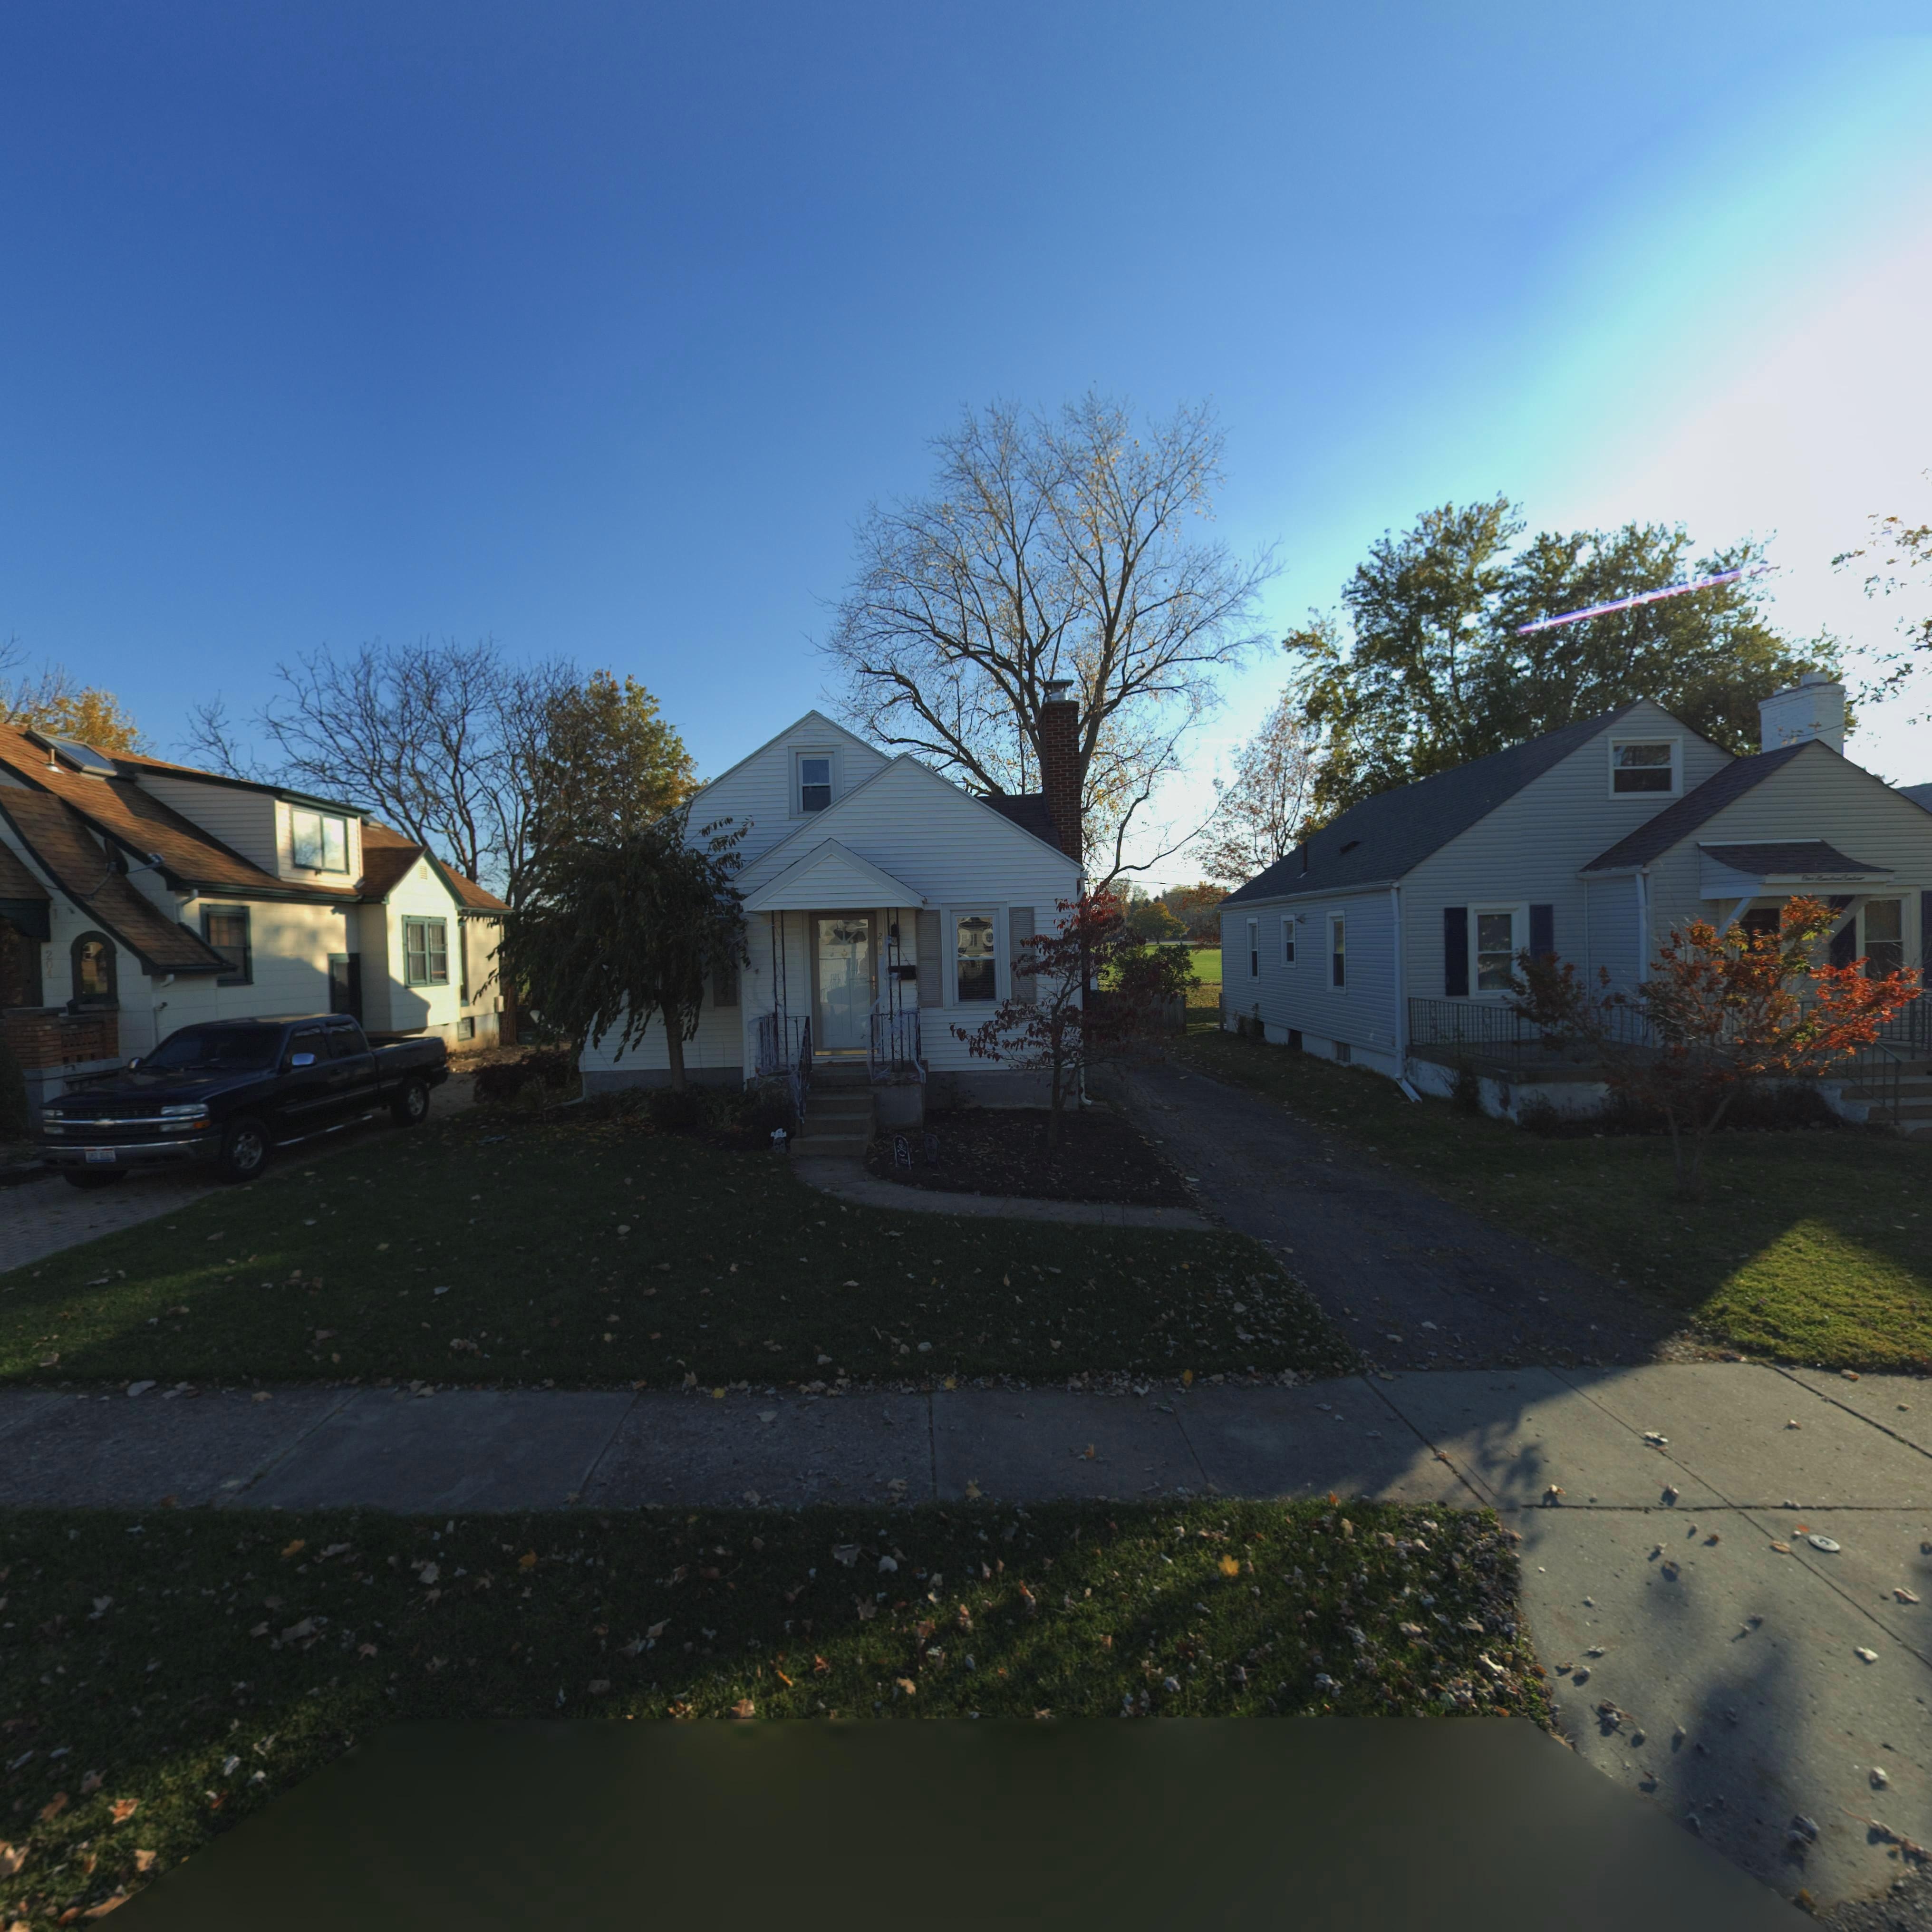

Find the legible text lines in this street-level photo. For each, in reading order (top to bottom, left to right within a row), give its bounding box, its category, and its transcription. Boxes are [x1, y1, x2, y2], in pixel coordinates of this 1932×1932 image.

[878, 932, 882, 940] StreetNumber: 2
[44, 948, 55, 981] StreetNumber: 204